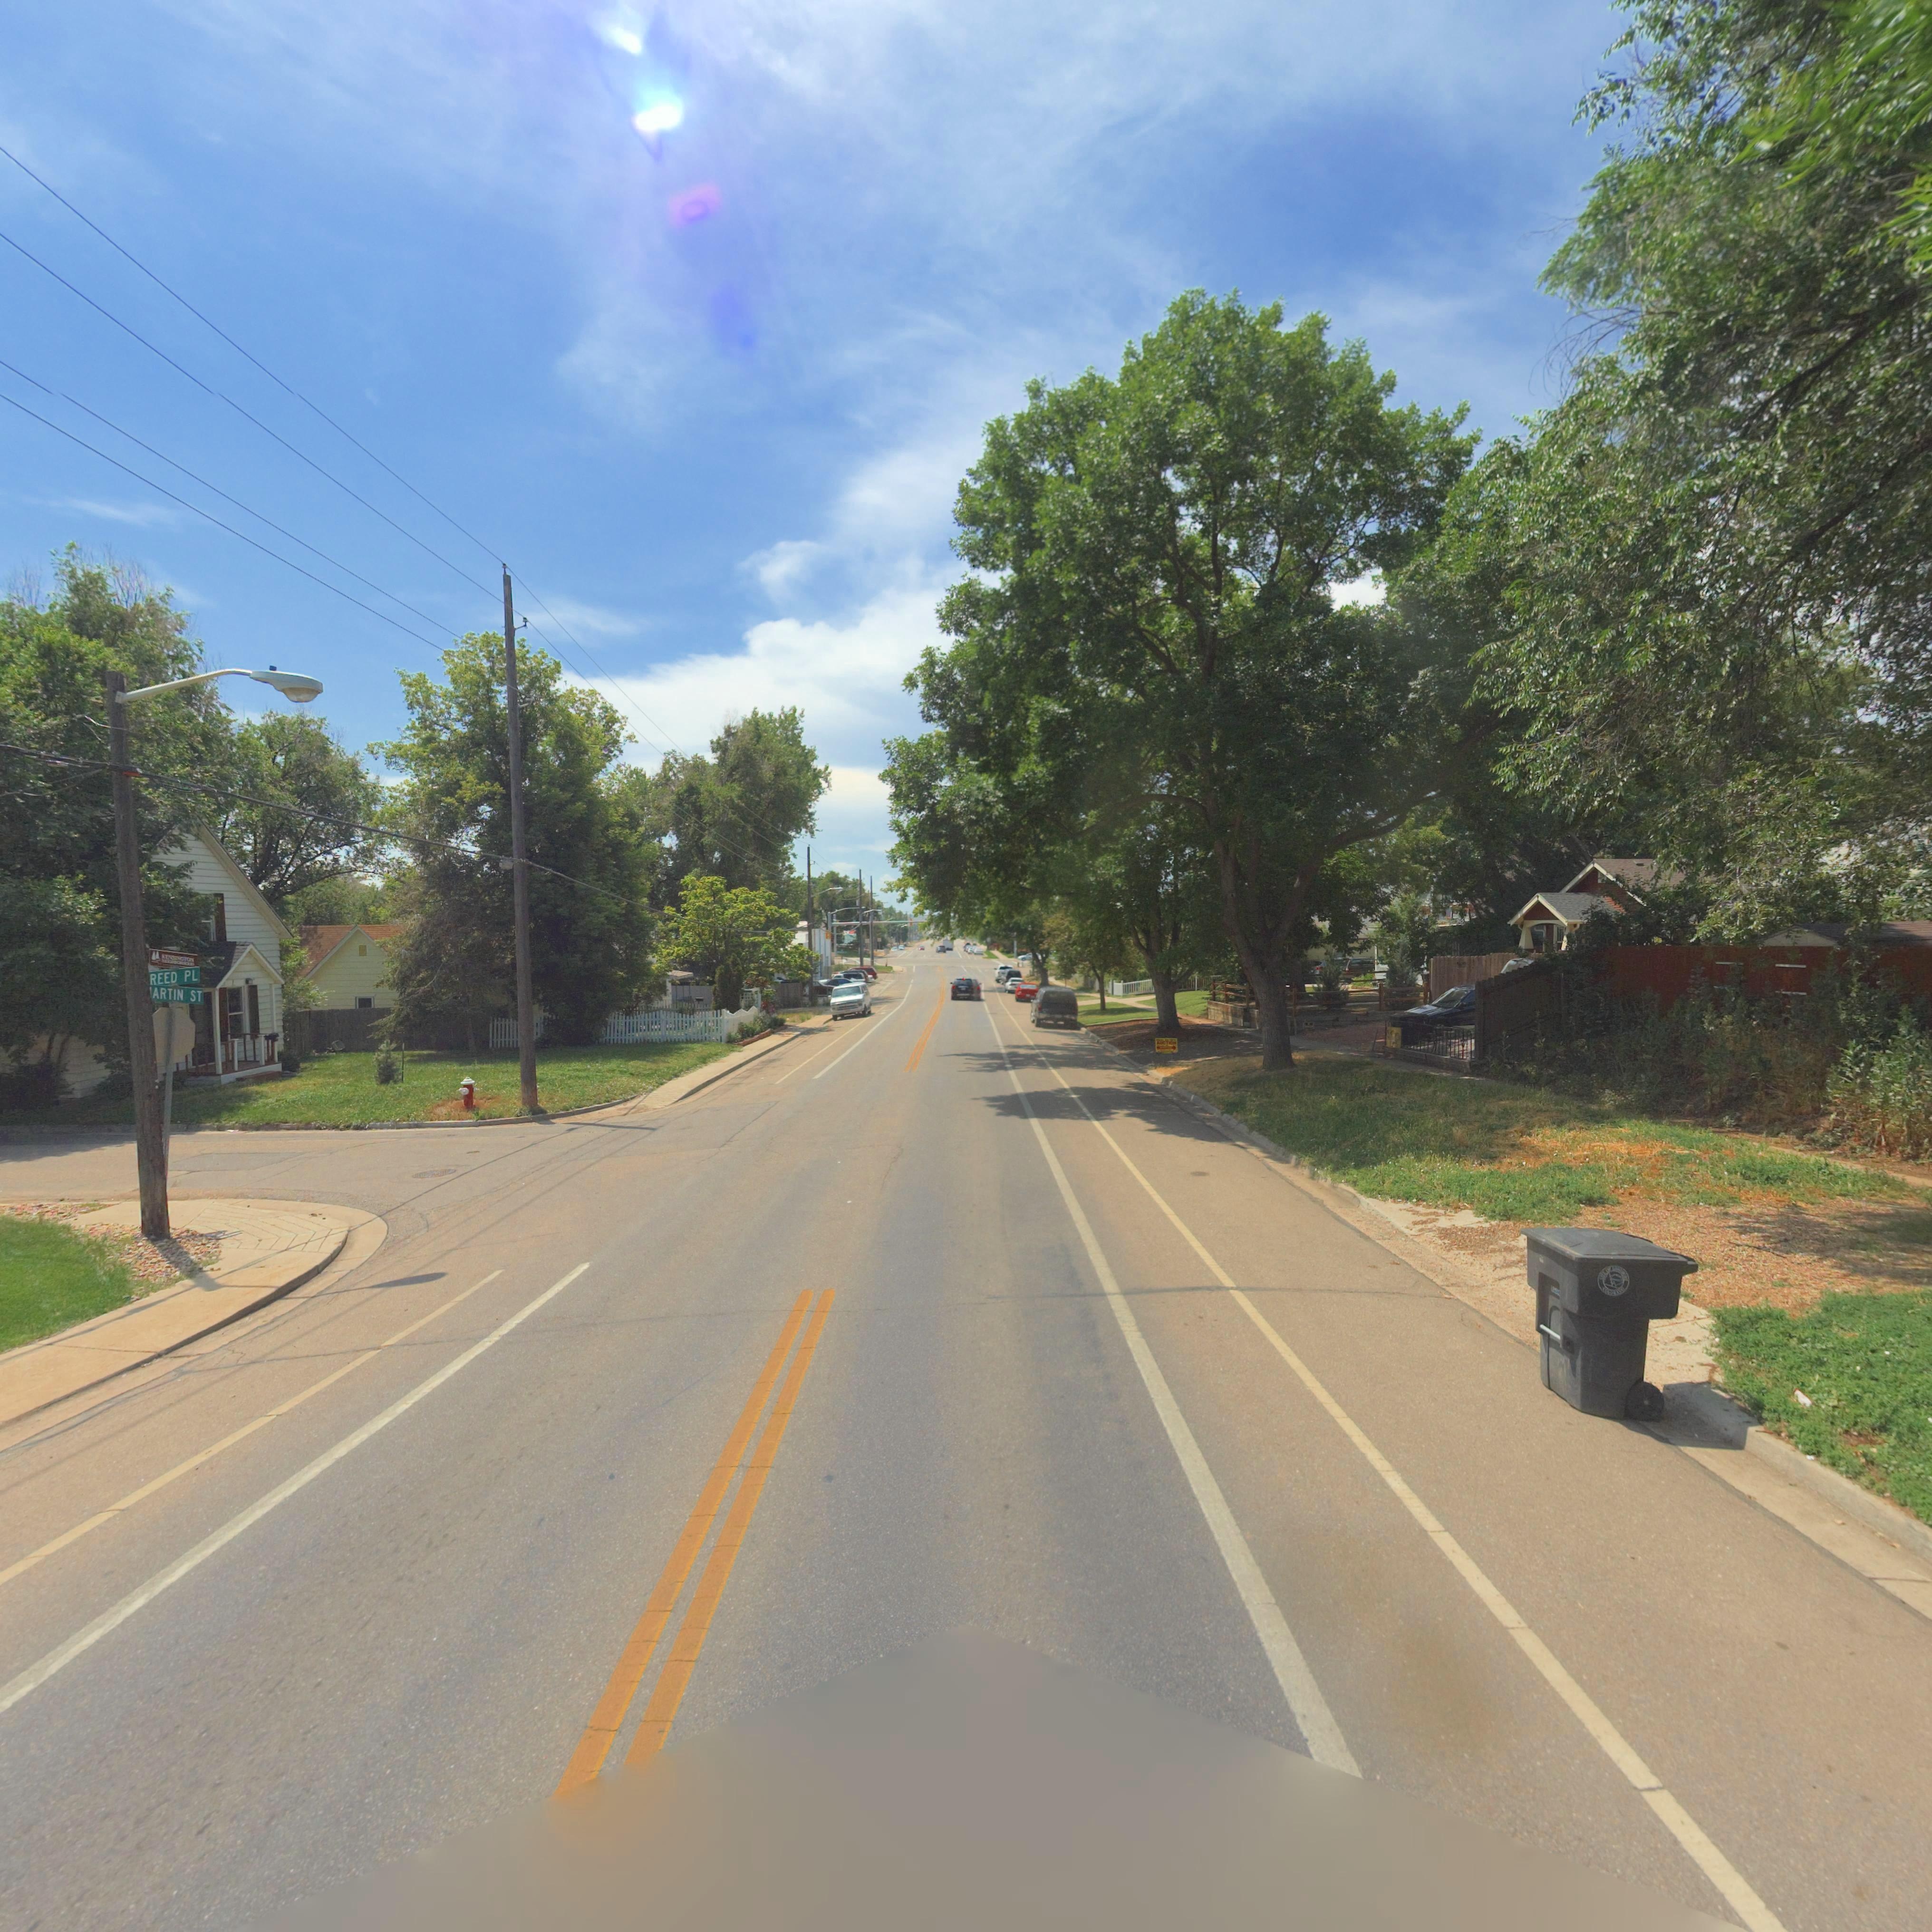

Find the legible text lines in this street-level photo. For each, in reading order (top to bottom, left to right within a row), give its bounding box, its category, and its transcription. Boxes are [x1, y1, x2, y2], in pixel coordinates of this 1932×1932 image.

[149, 969, 198, 985] StreetName: REED PL
[152, 987, 202, 1002] StreetName: ARTIN ST